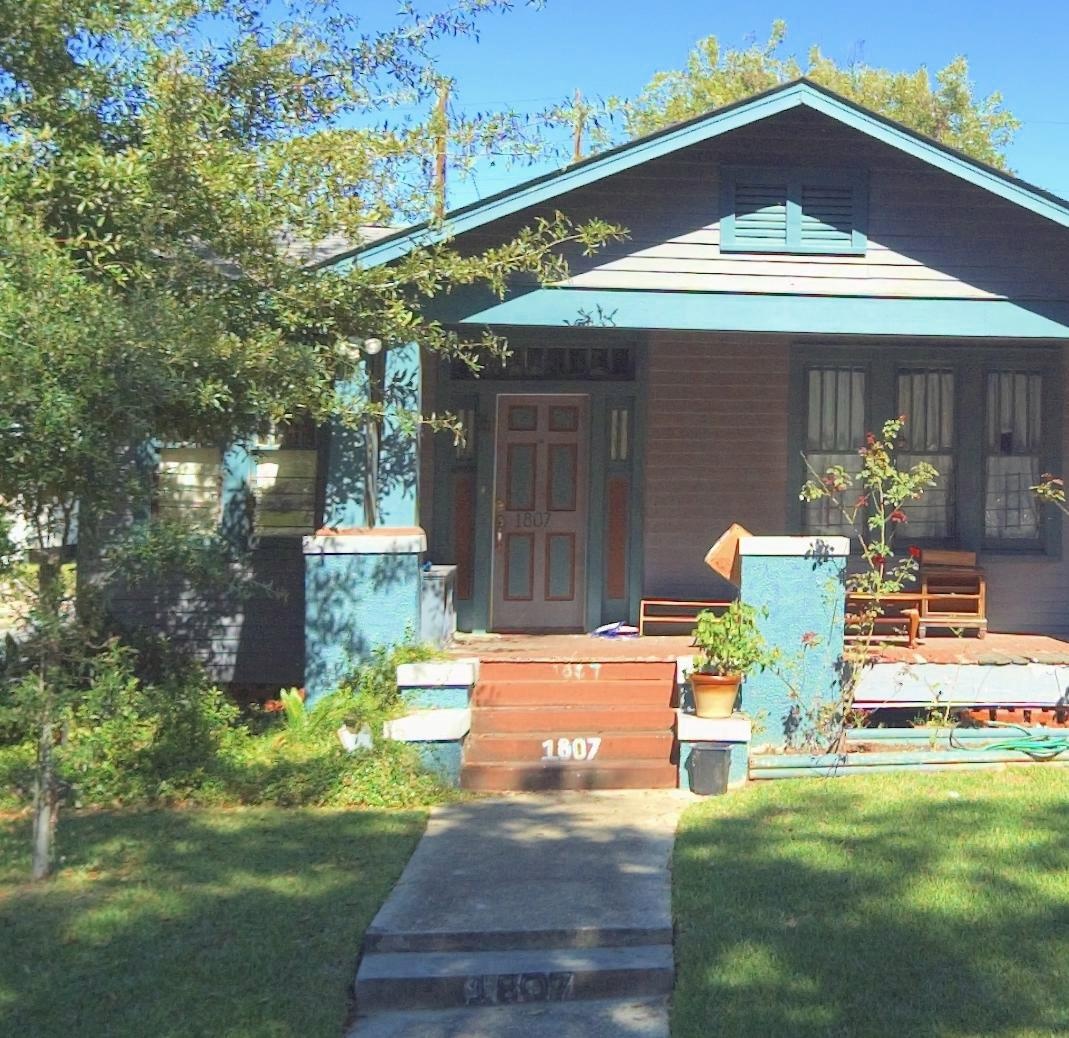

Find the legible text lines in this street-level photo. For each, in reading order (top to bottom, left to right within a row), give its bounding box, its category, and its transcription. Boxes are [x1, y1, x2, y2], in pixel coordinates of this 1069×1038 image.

[515, 510, 554, 529] StreetNumber: 1807
[538, 735, 606, 763] StreetNumber: 1807
[467, 968, 575, 1007] StreetNumber: 1807